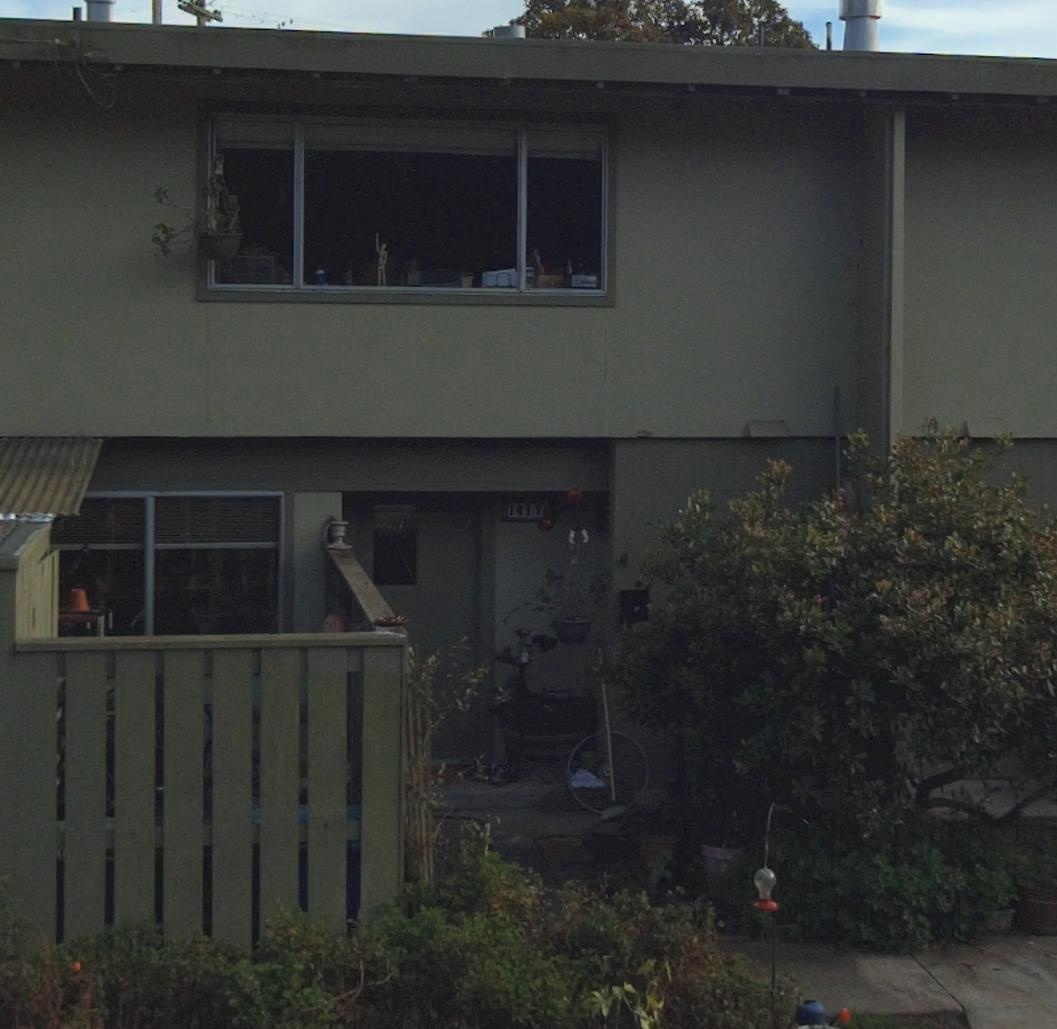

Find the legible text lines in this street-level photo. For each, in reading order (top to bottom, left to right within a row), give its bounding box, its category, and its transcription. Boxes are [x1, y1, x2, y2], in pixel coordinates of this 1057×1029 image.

[507, 503, 543, 518] StreetNumber: 1417